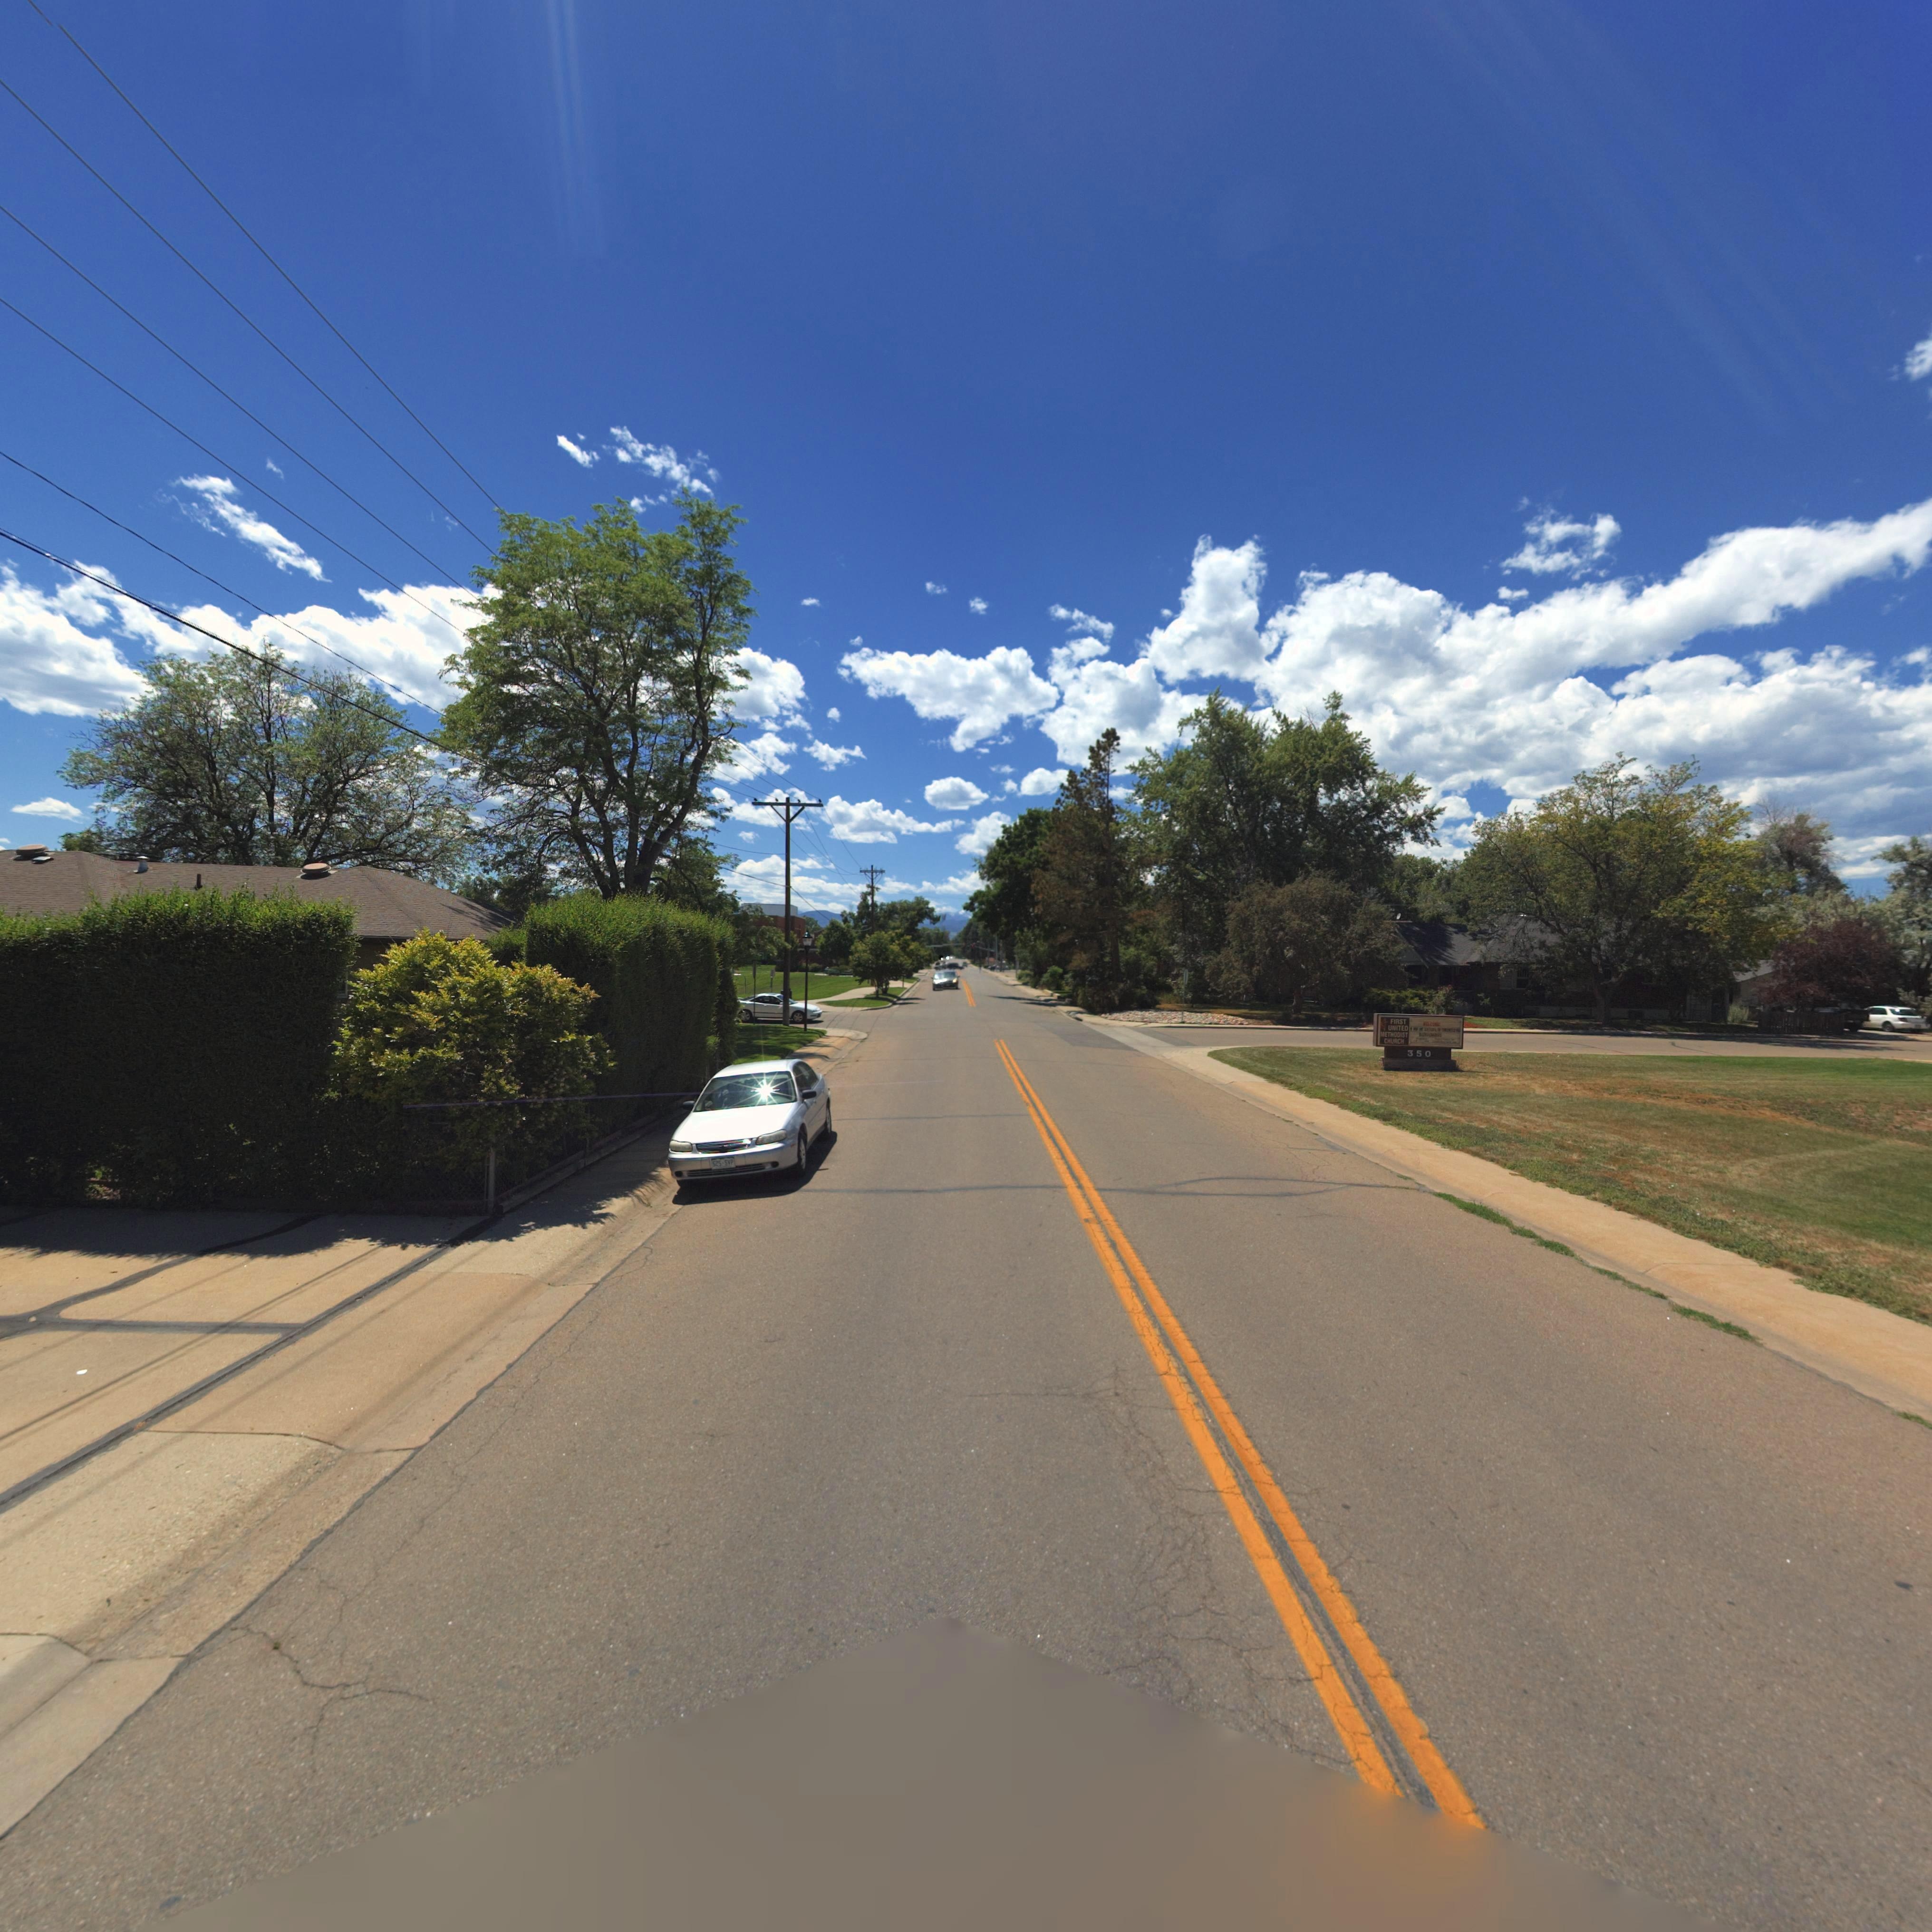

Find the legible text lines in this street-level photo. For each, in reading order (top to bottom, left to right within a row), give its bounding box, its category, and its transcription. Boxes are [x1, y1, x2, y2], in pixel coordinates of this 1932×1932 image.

[1390, 1018, 1407, 1024] BusinessName: FIRST
[1388, 1024, 1409, 1031] BusinessName: UNITED
[1379, 1031, 1408, 1038] BusinessName: METHODIST
[1384, 1038, 1404, 1044] BusinessName: CHURCH
[1406, 1049, 1431, 1057] StreetNumber: 350